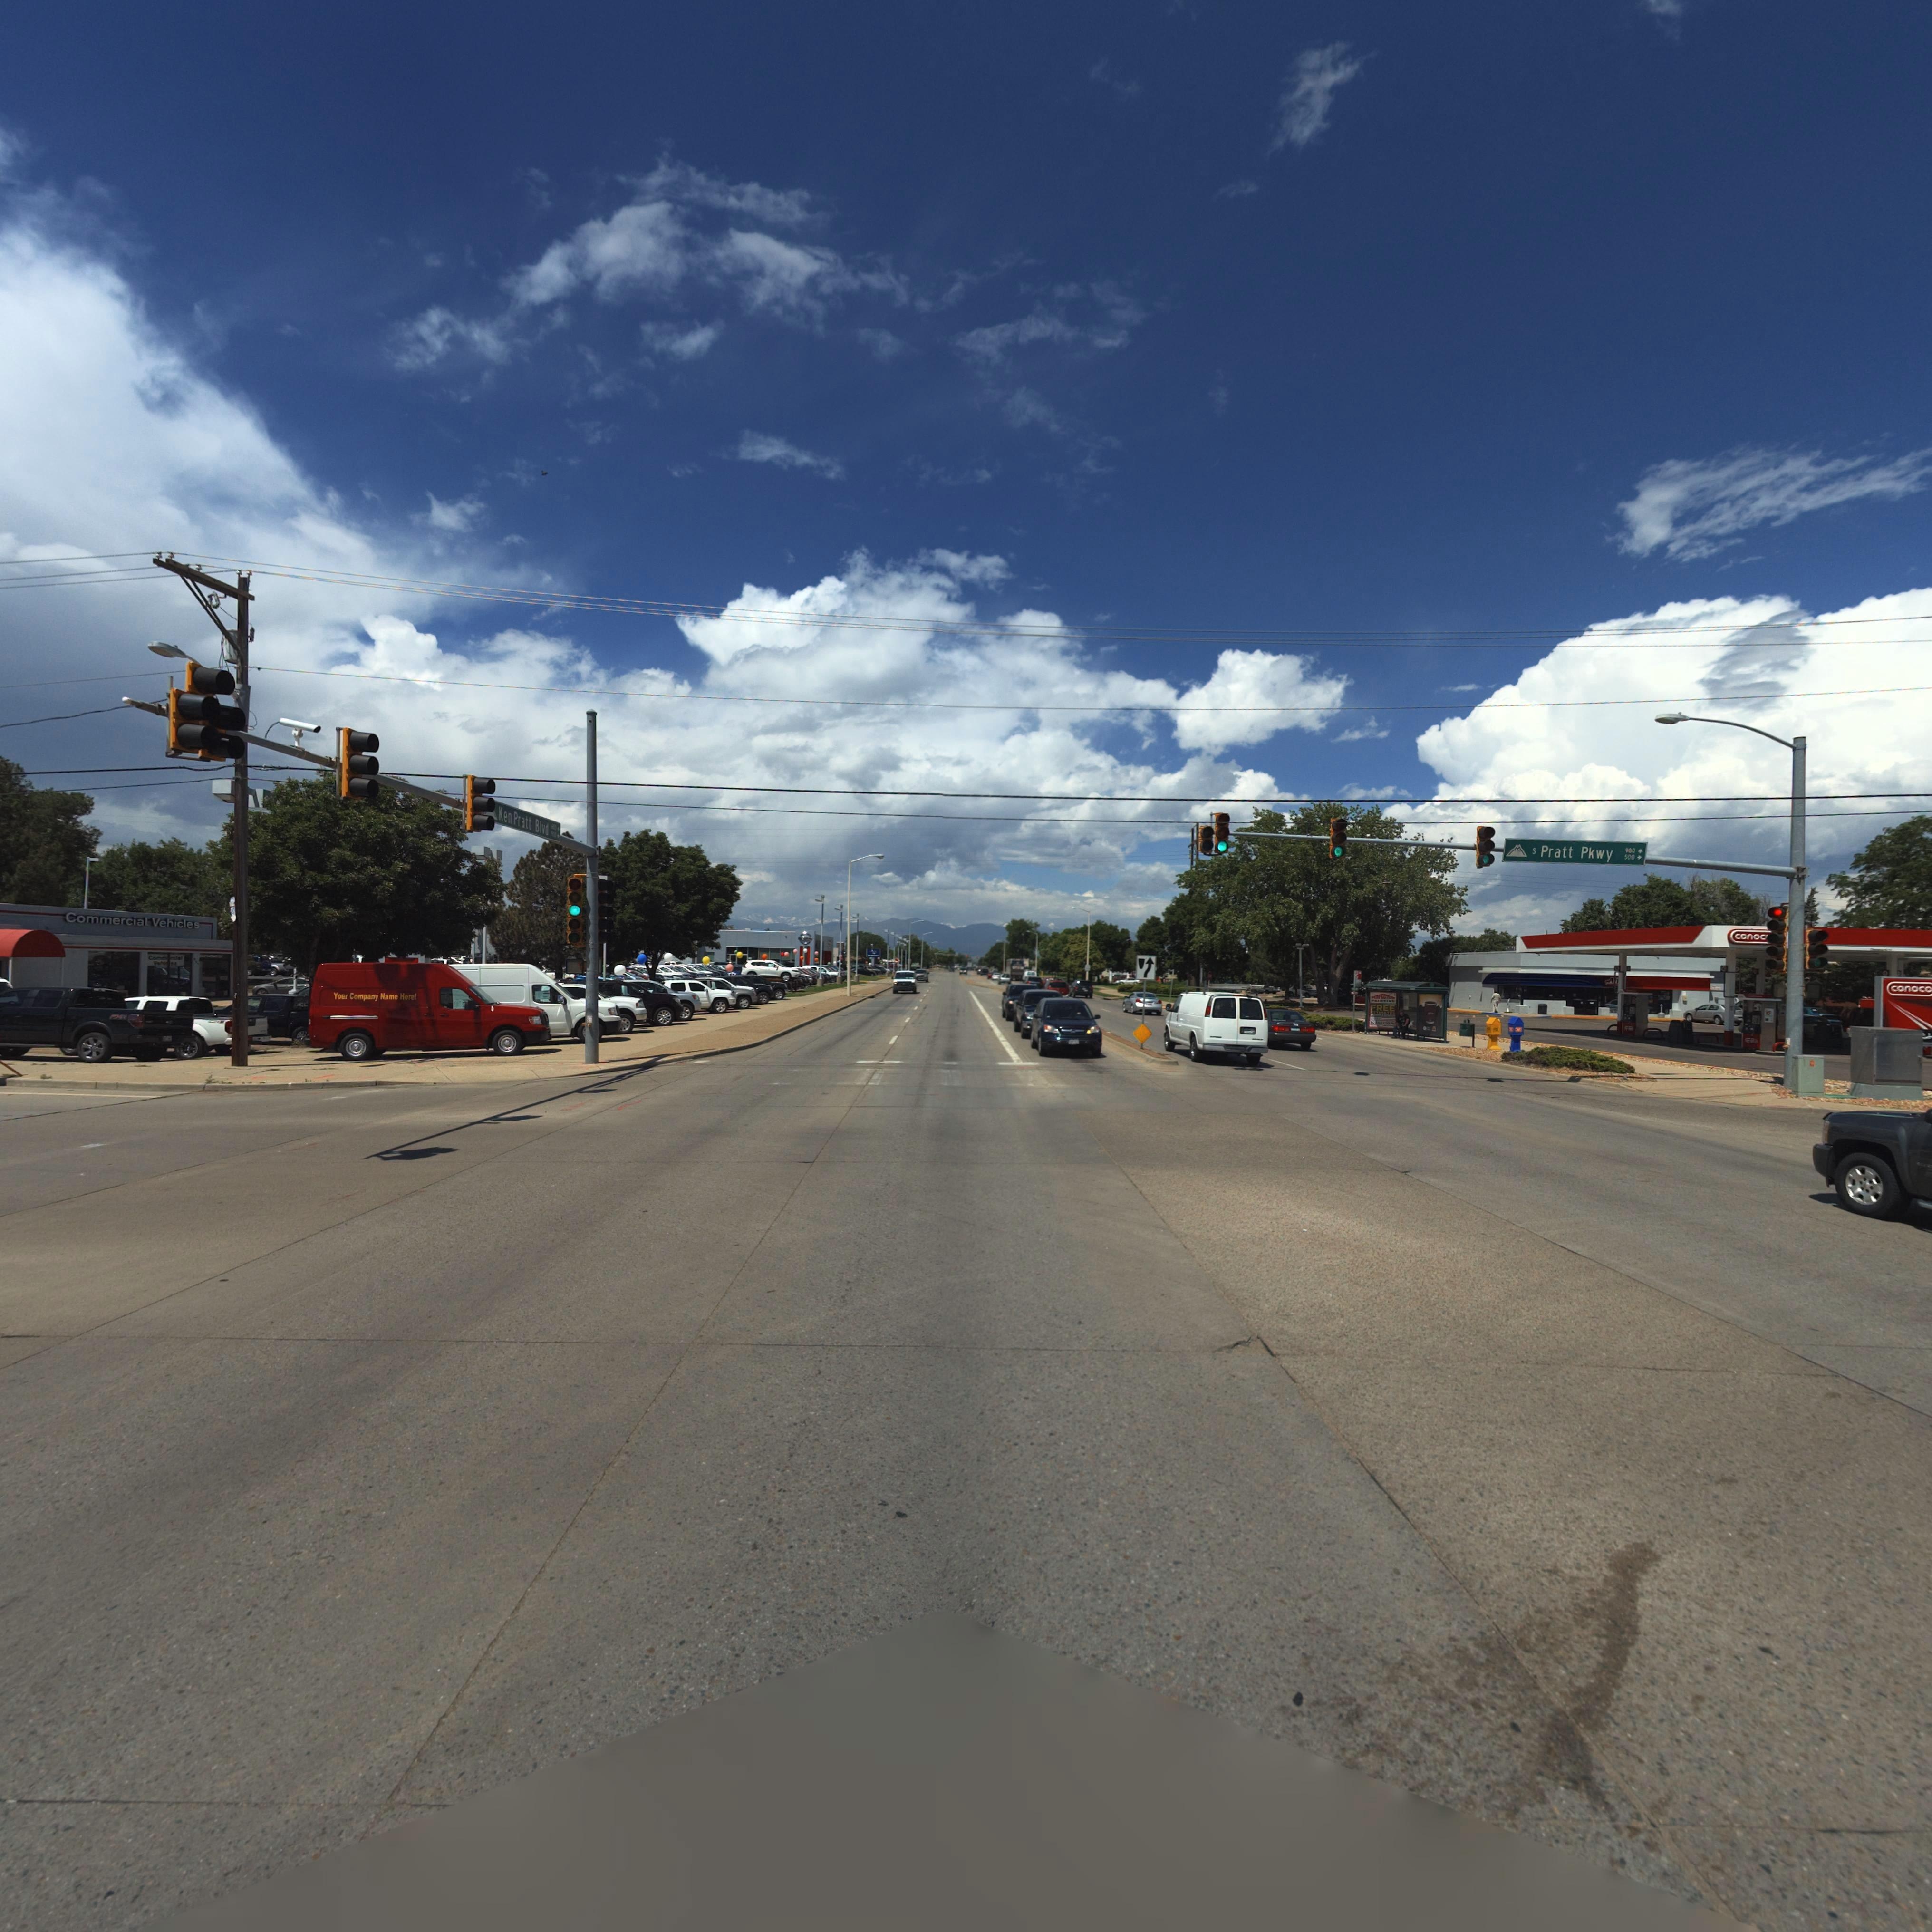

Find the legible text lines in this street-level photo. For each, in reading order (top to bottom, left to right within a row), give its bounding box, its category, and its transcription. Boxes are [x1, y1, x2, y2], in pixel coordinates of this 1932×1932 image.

[498, 805, 549, 836] StreetName: Ken Pratt Blvd
[551, 823, 557, 831] StreetNumberRange: 600
[1531, 845, 1613, 862] StreetName: S Pratt Pkwy
[1624, 848, 1635, 853] StreetNumberRange:  900
[1623, 854, 1642, 860] StreetNumberRange: 500 ->
[1734, 933, 1767, 940] BusinessName: conoc
[1605, 977, 1613, 983] BusinessName: A
[1890, 985, 1925, 992] BusinessName: conoc